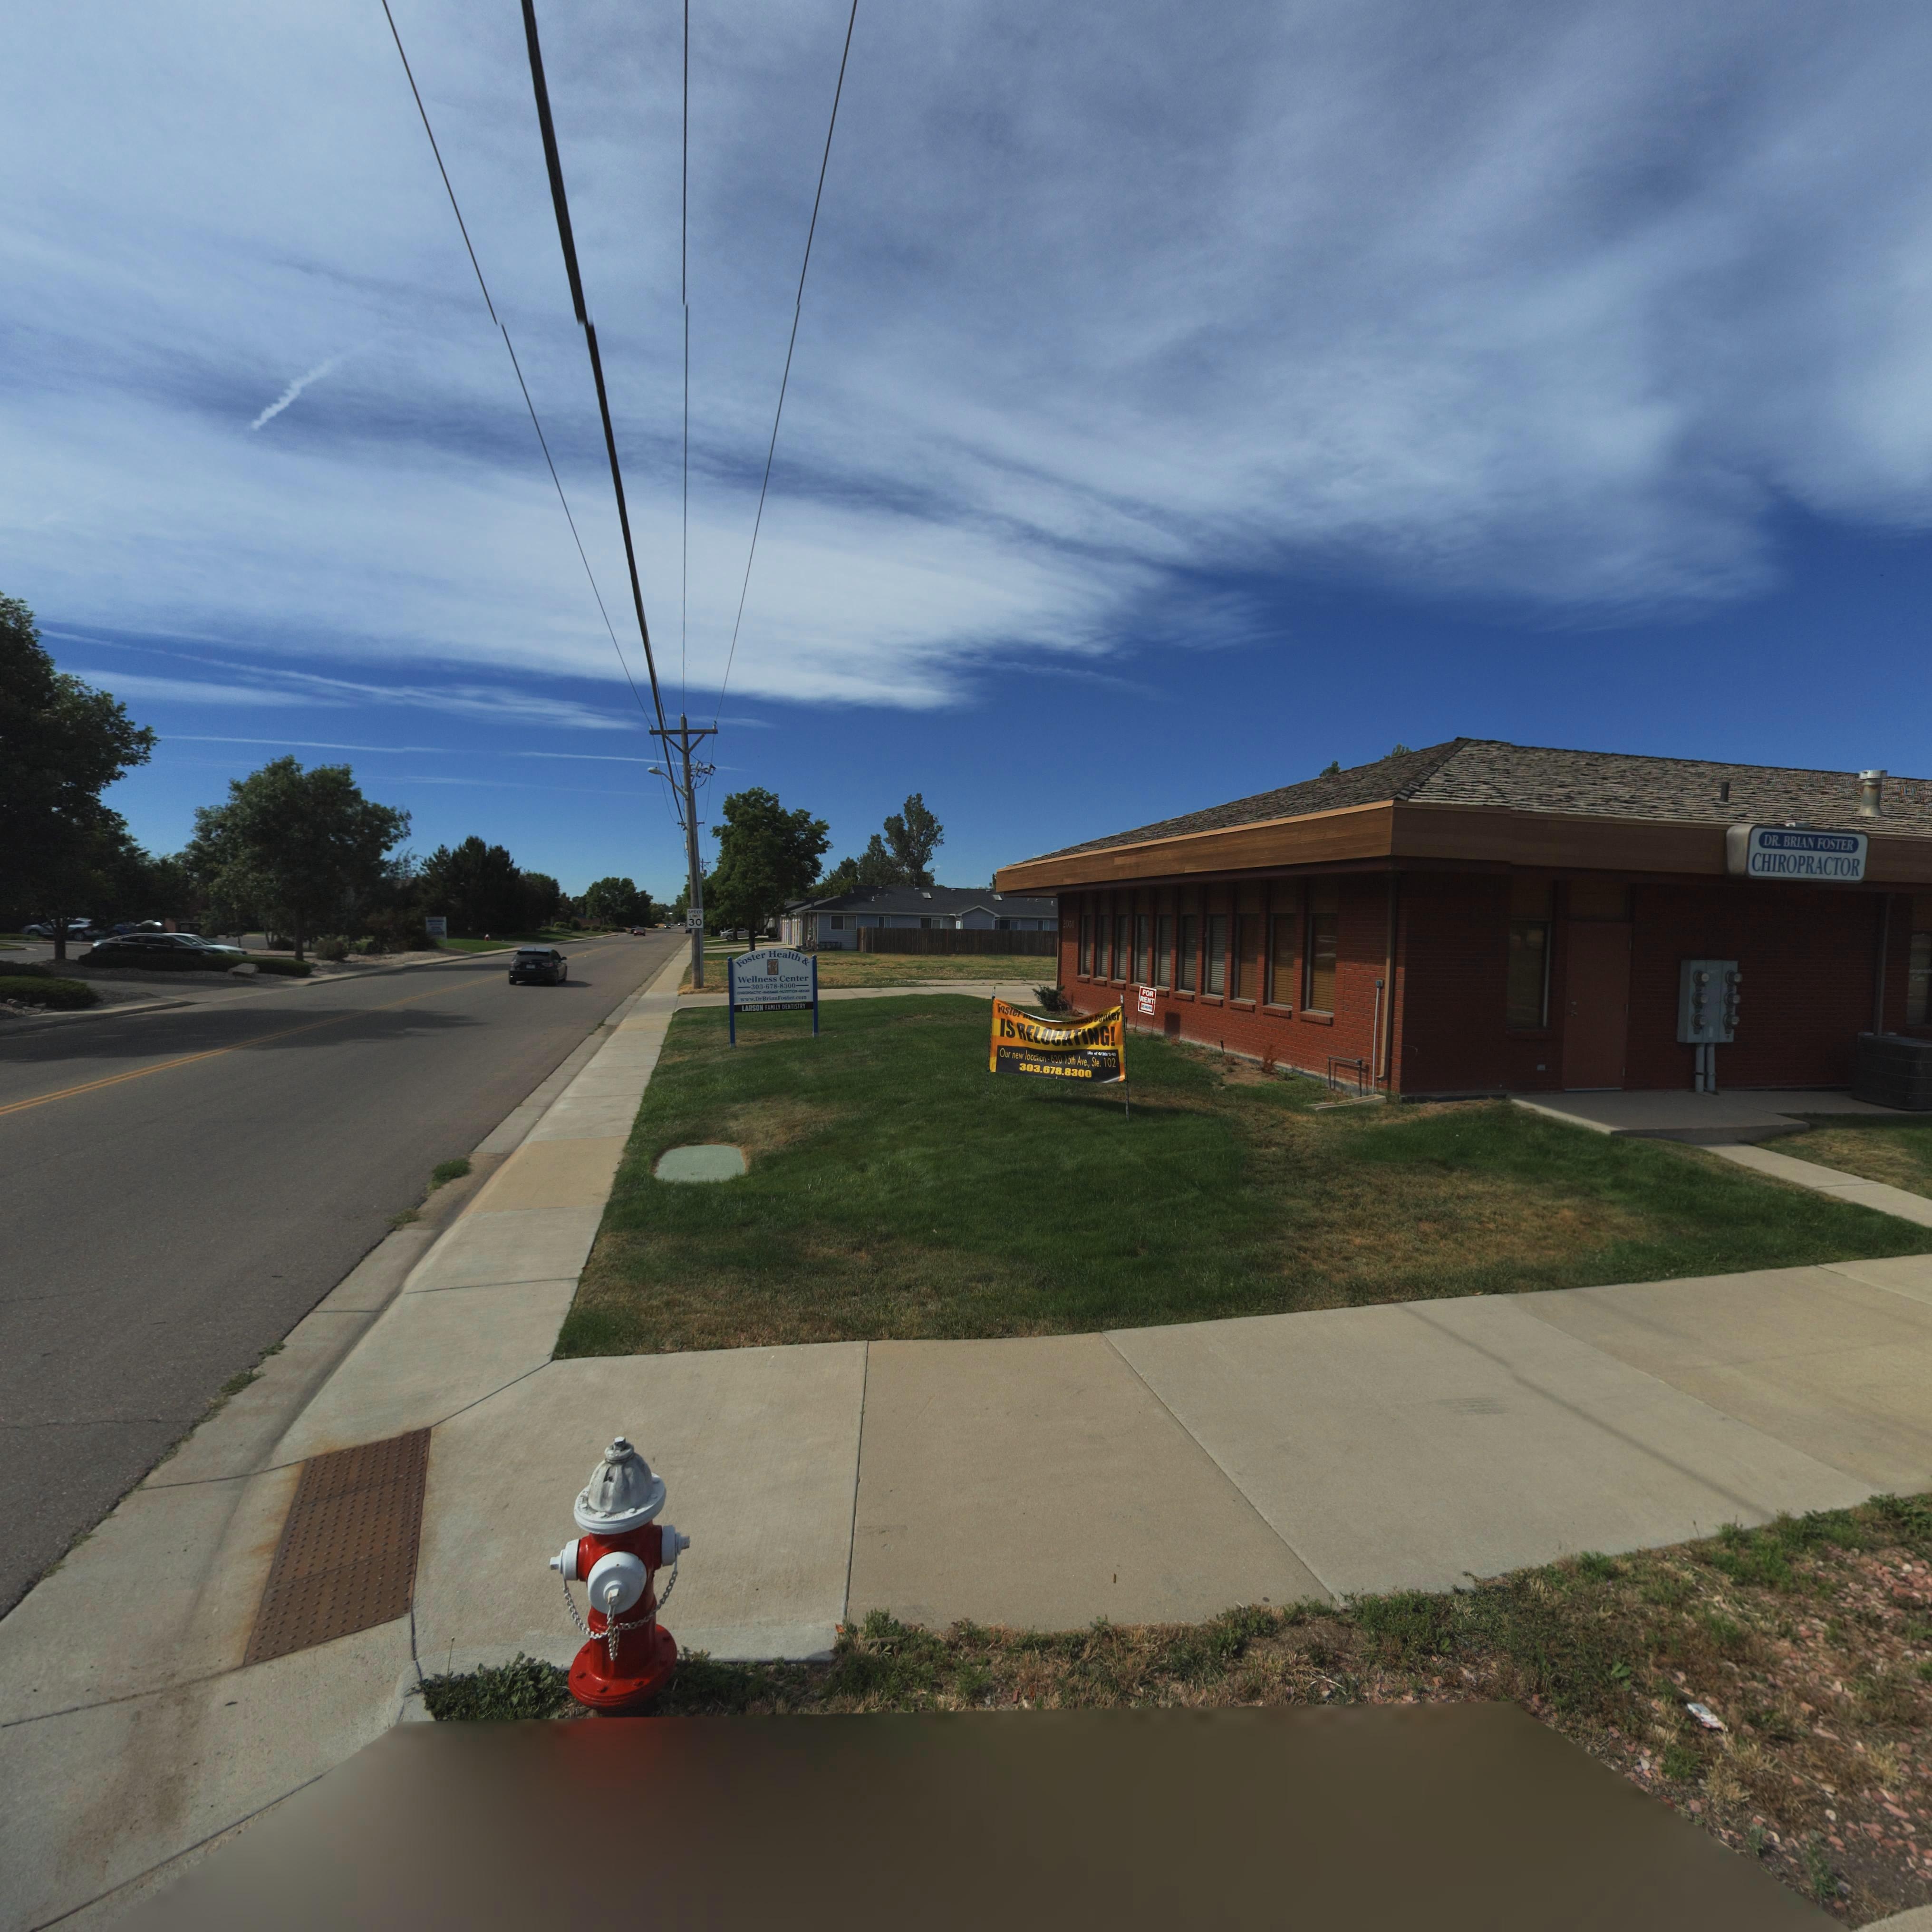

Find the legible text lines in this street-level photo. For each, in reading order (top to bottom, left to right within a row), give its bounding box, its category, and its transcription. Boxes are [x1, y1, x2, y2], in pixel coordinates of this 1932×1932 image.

[1763, 833, 1854, 851] BusinessName: DR. BRIAN FOSTER
[1062, 919, 1074, 928] StreetNumber: 2051
[734, 949, 810, 968] BusinessName: Foster Health &
[736, 975, 809, 983] BusinessName: Wellness Center
[741, 1003, 806, 1011] BusinessName: LARSON FAMILY DENTISTRY